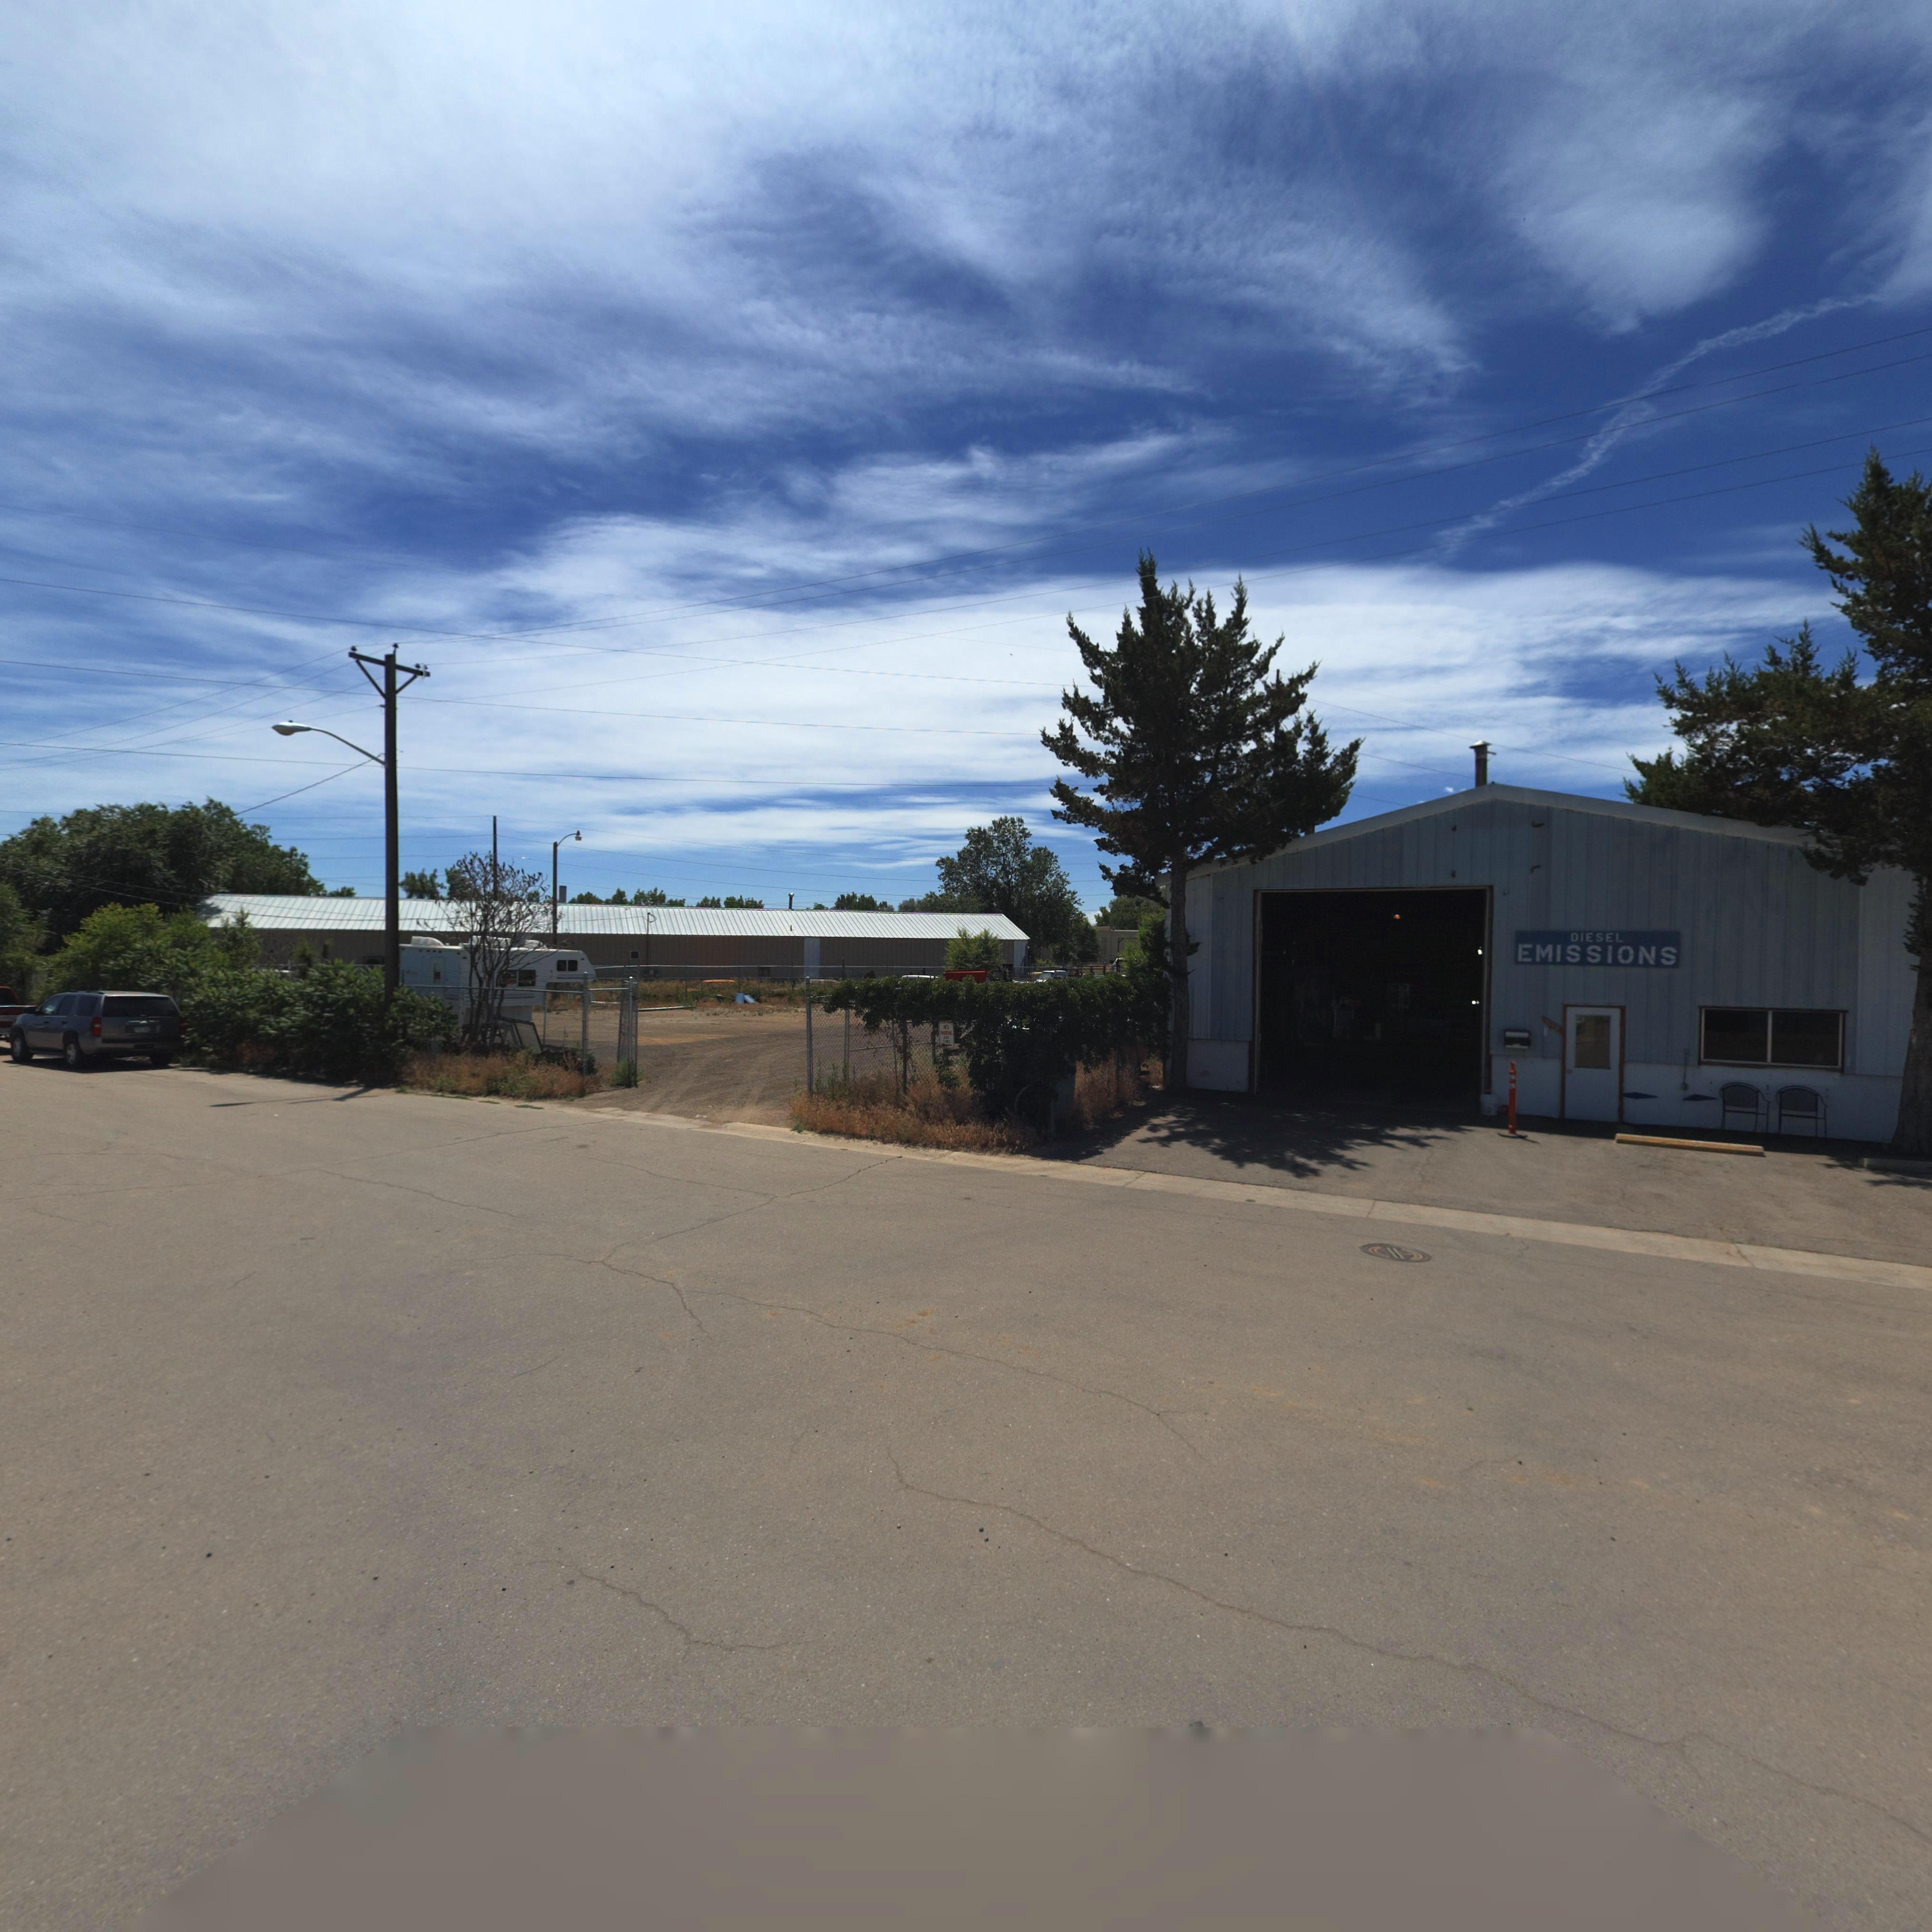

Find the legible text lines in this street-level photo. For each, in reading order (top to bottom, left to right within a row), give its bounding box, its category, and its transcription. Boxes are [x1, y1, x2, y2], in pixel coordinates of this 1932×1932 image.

[1570, 931, 1624, 943] BusinessName: DIESEL
[1517, 943, 1678, 966] BusinessName: EMISSIONS
[1544, 1018, 1561, 1033] StreetNumber: 131*